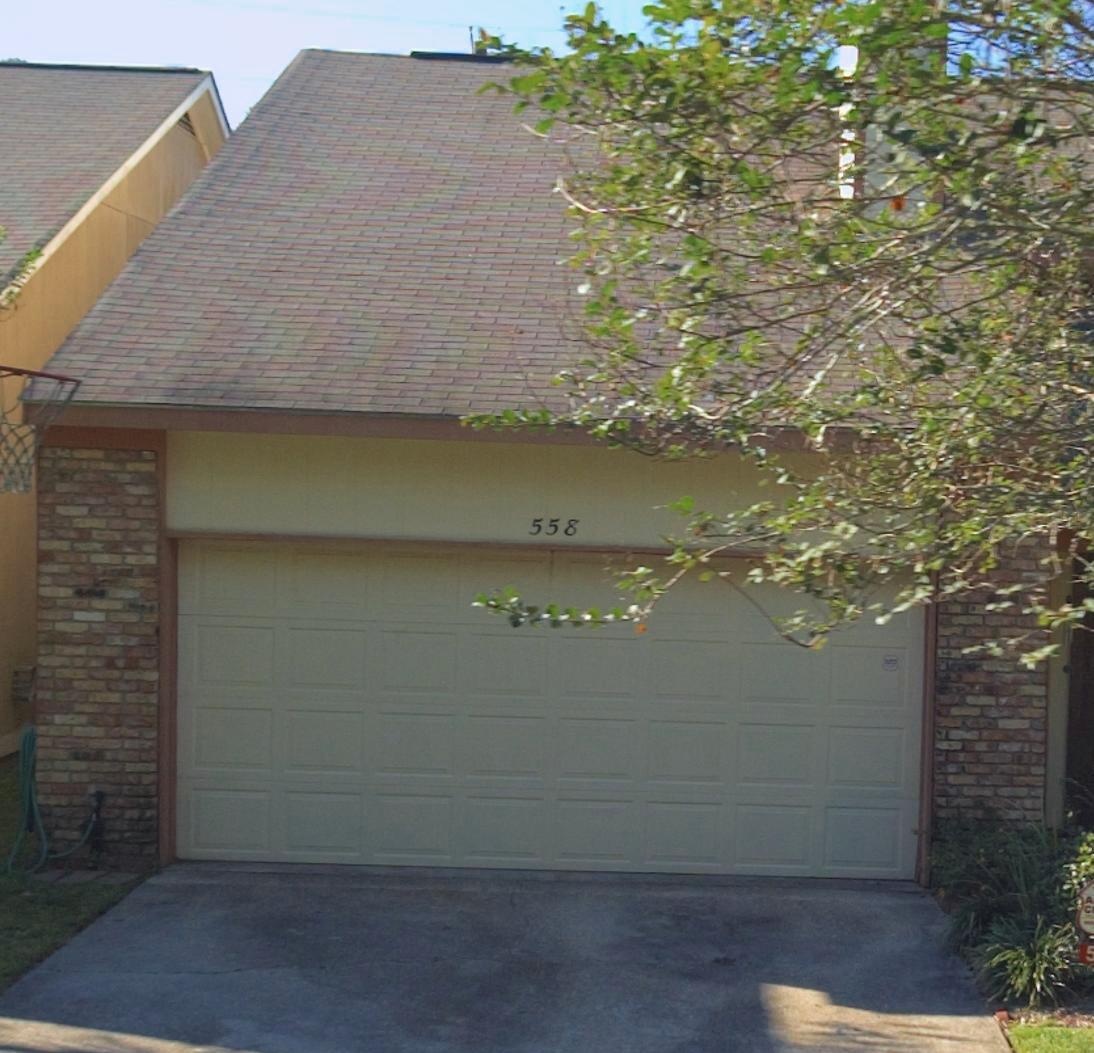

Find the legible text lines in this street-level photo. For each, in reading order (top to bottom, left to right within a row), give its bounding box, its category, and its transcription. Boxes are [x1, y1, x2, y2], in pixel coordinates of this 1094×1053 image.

[529, 516, 580, 537] StreetNumber: 558